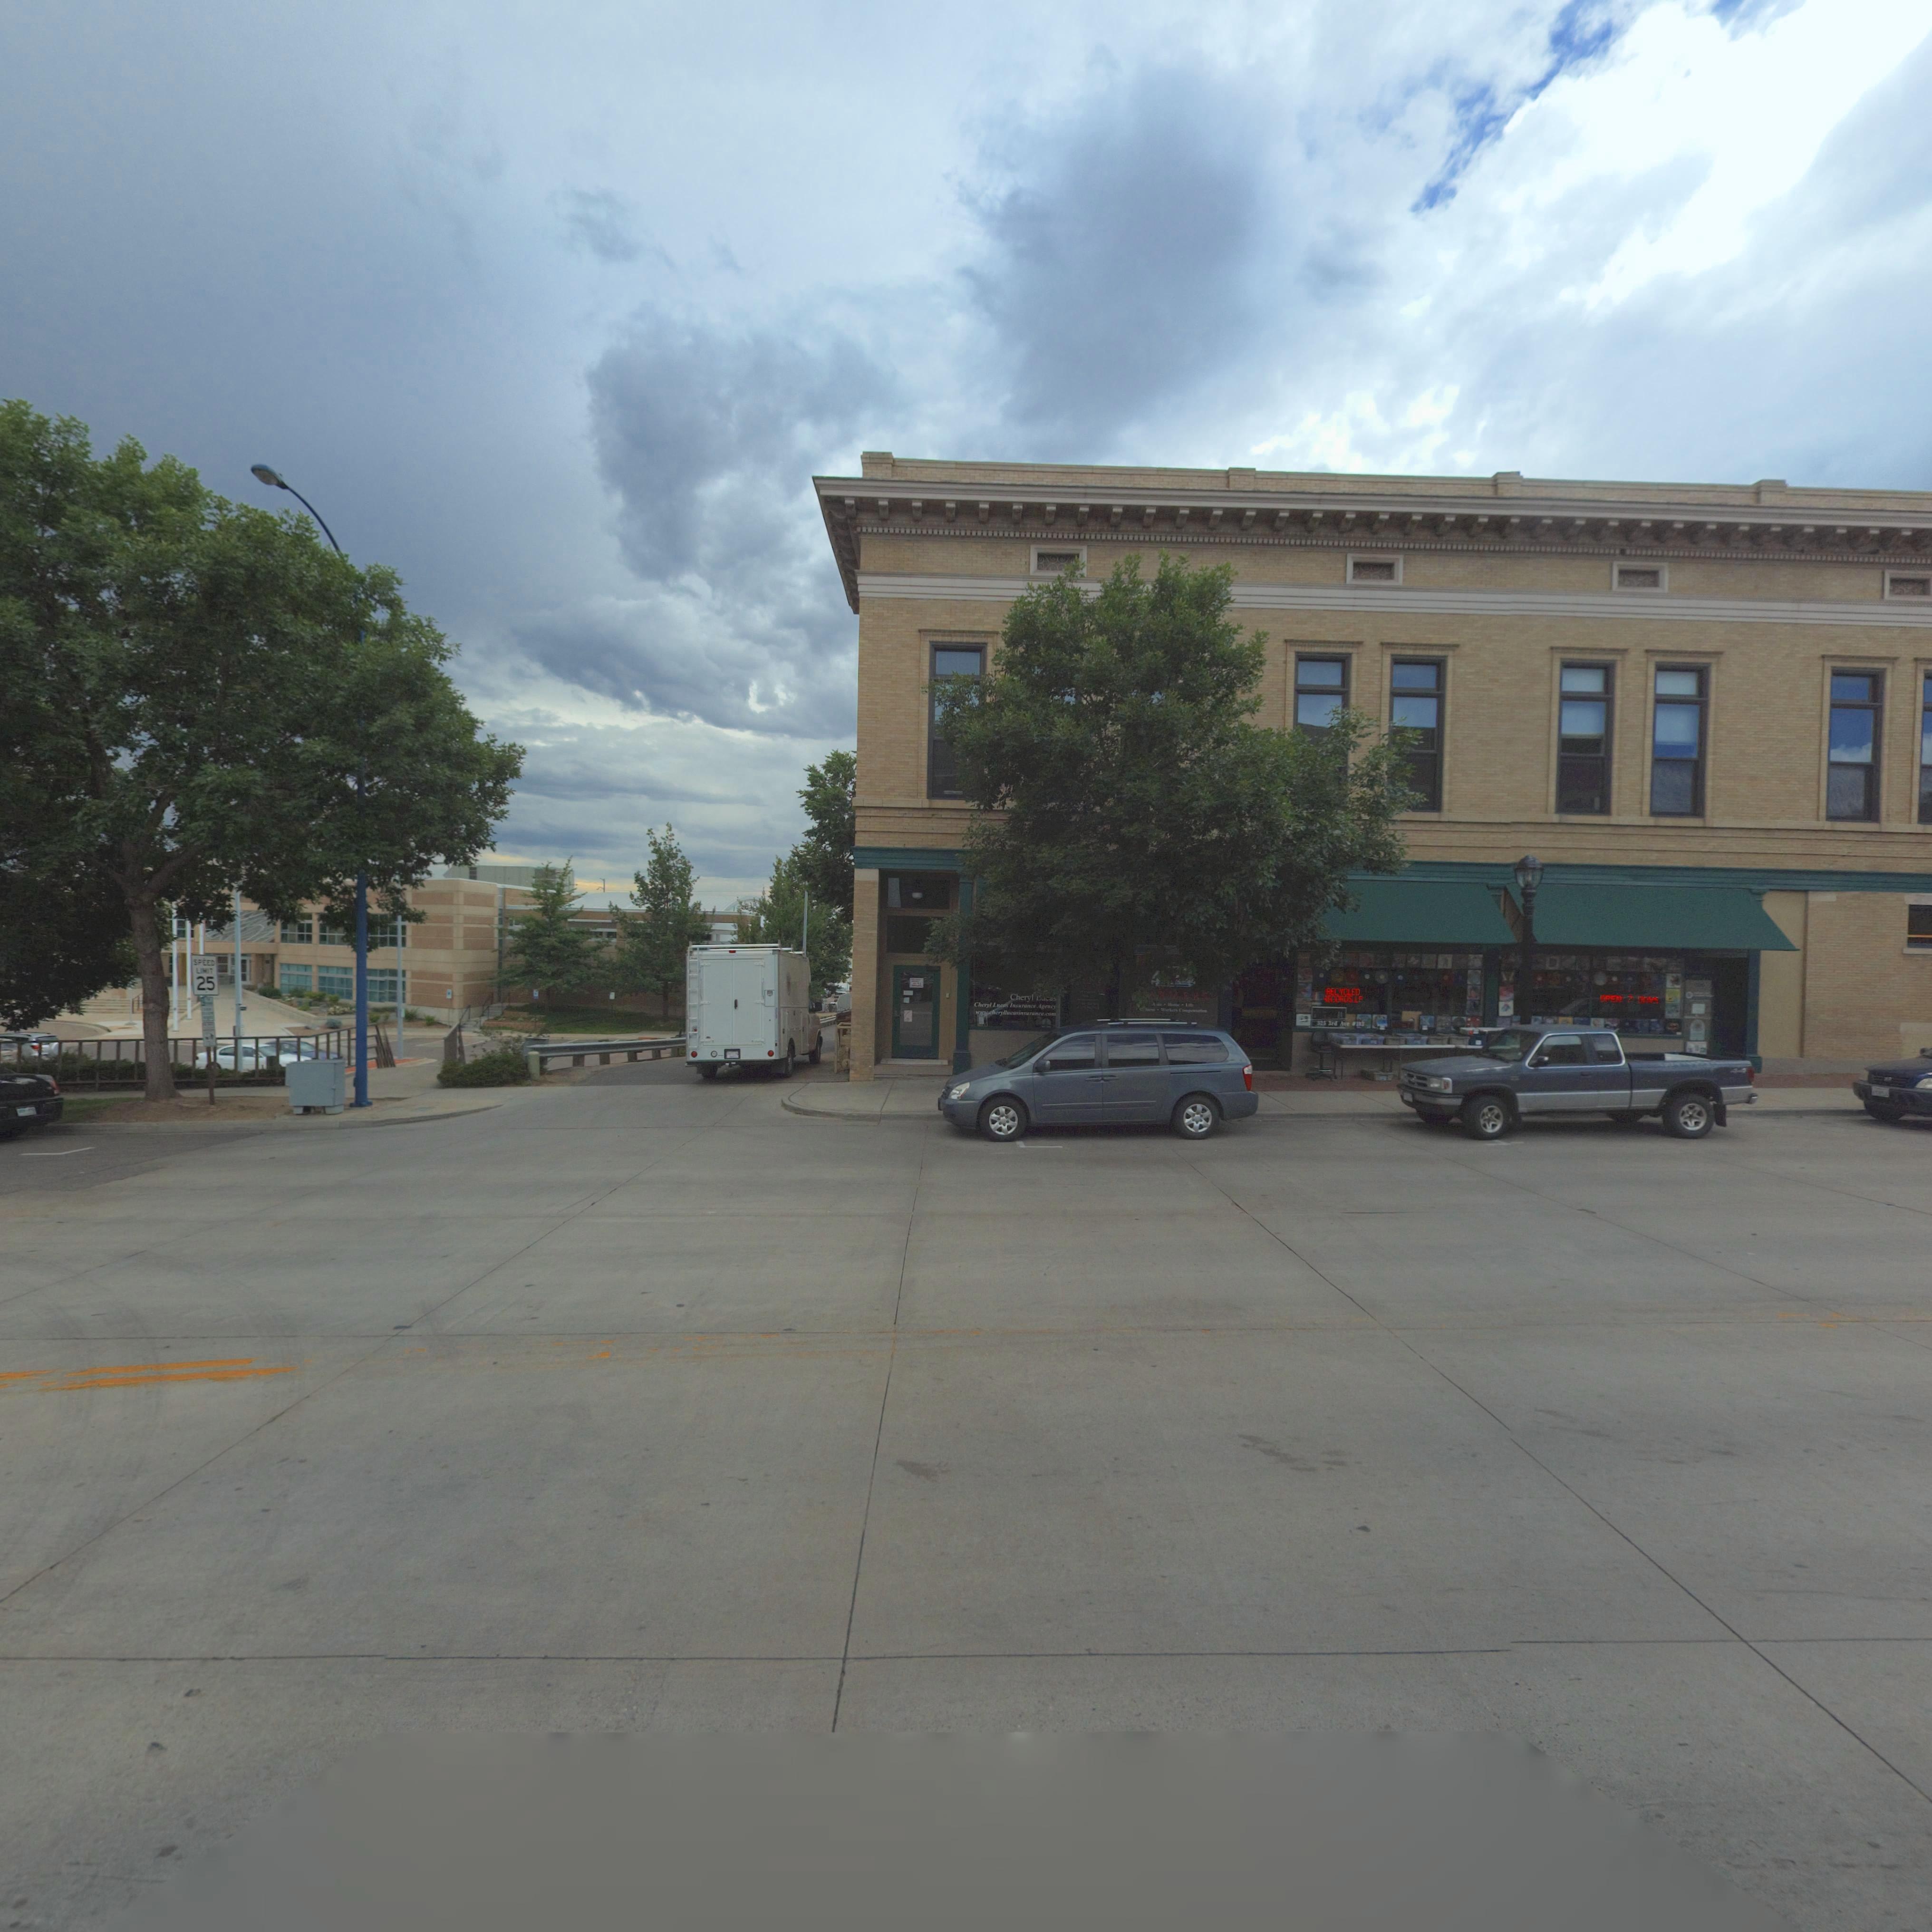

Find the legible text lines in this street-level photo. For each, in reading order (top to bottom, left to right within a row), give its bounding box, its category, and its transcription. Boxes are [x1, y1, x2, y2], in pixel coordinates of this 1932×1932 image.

[1147, 990, 1208, 1001] BusinessName: *RMES
[973, 1002, 1057, 1010] BusinessName: Cheryl L*ons Insurance Agency
[1316, 1020, 1327, 1026] StreetNumber: 585
[1328, 1020, 1350, 1026] StreetName: 3rd Ave